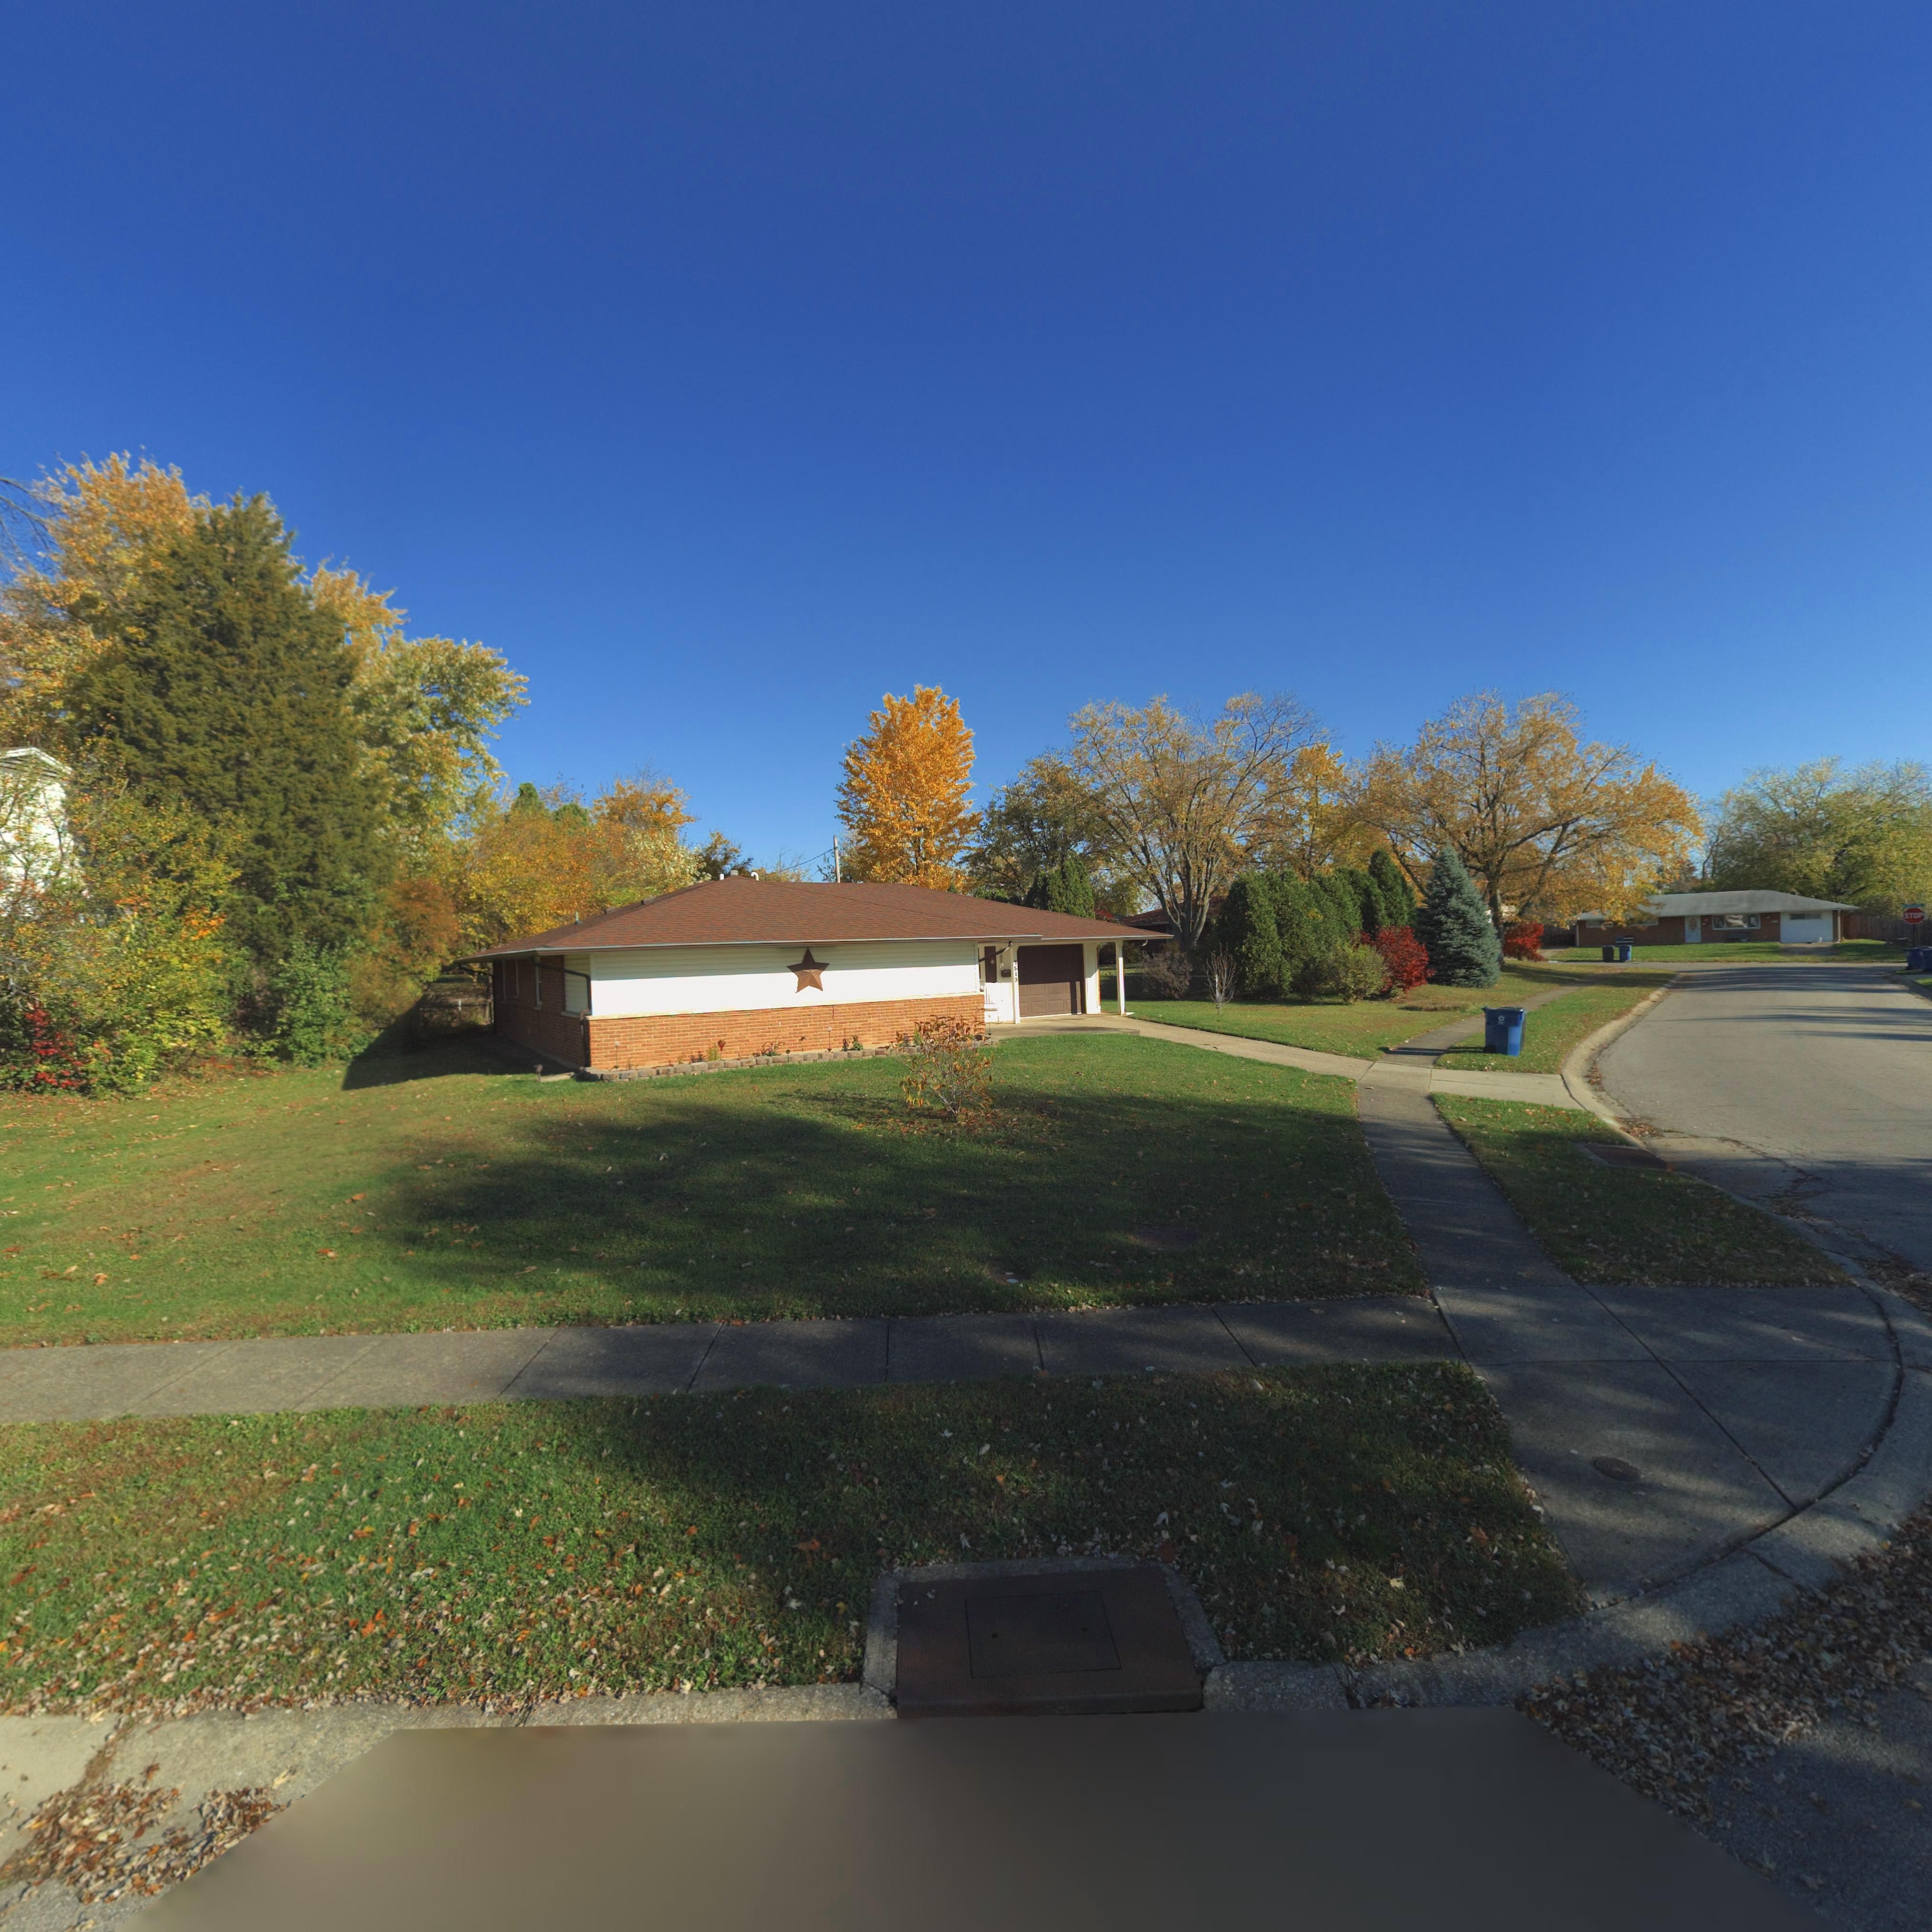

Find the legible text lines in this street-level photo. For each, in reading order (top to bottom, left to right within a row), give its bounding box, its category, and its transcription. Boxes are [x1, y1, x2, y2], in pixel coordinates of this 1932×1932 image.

[1013, 959, 1019, 984] StreetNumber: 7513